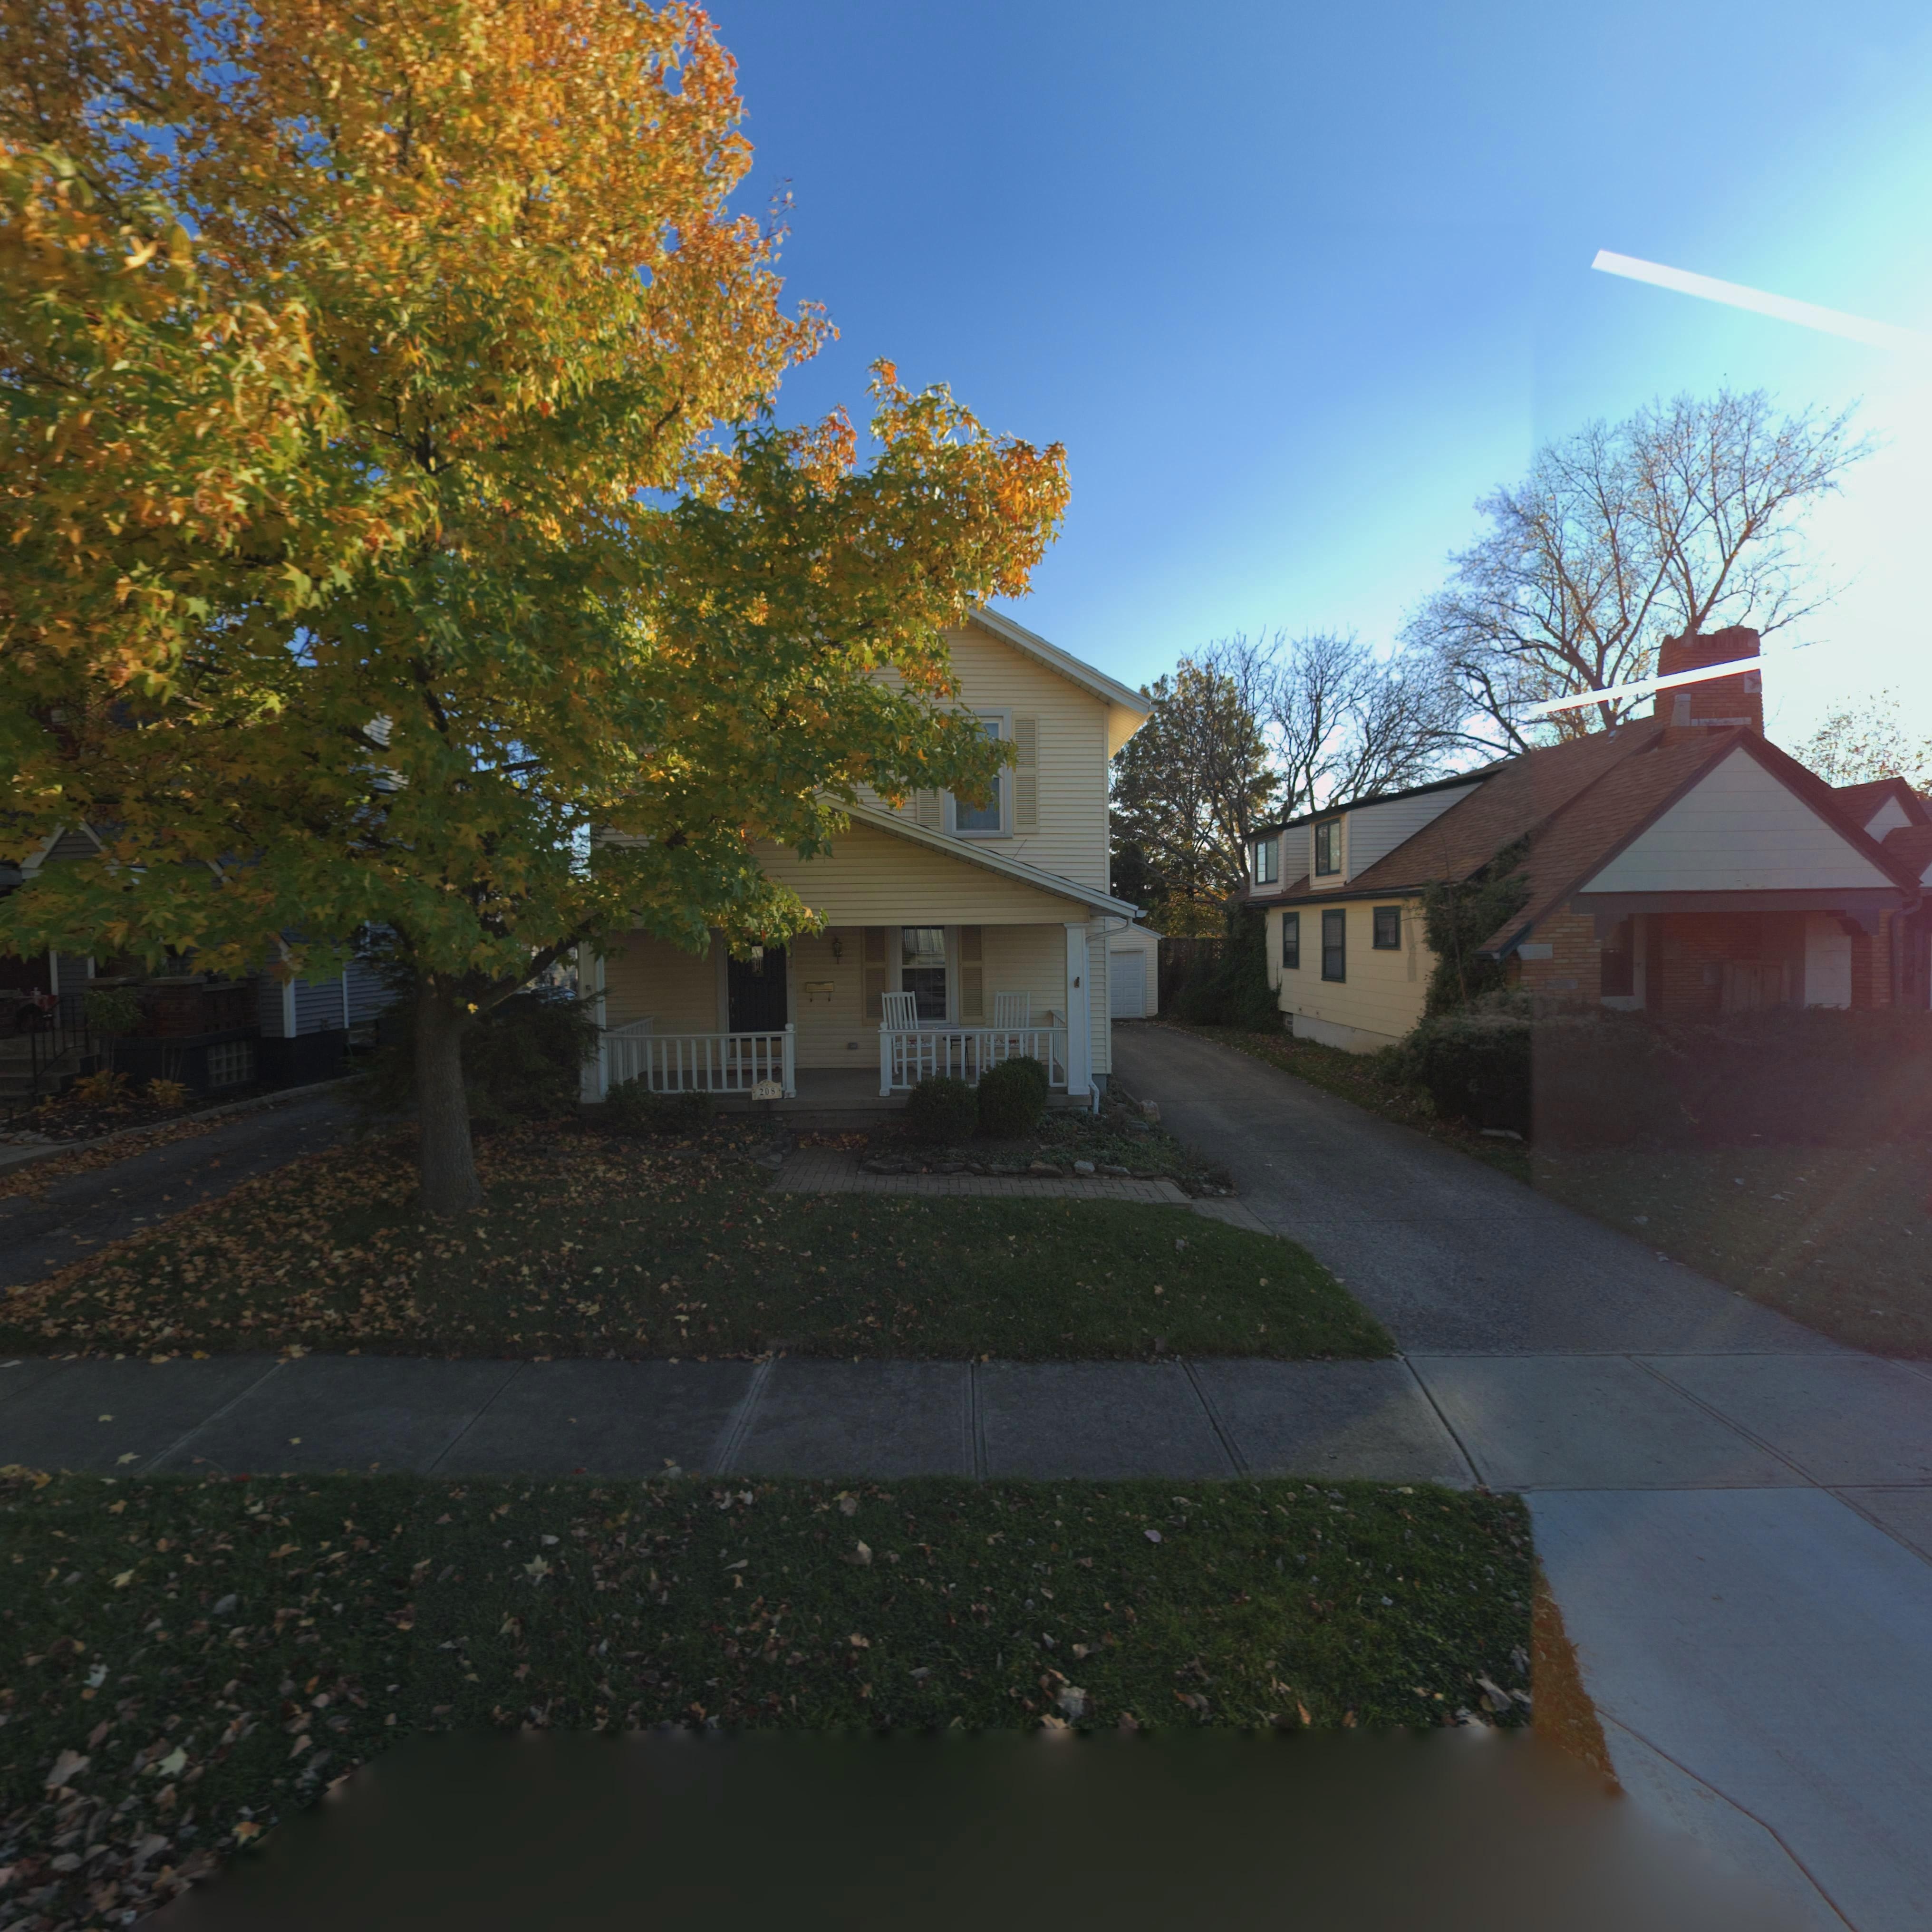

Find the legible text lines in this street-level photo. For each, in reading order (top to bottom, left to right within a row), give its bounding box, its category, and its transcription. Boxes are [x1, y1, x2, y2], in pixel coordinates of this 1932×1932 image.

[786, 940, 793, 969] StreetNumber: **8
[759, 1087, 776, 1096] StreetNumber: 208